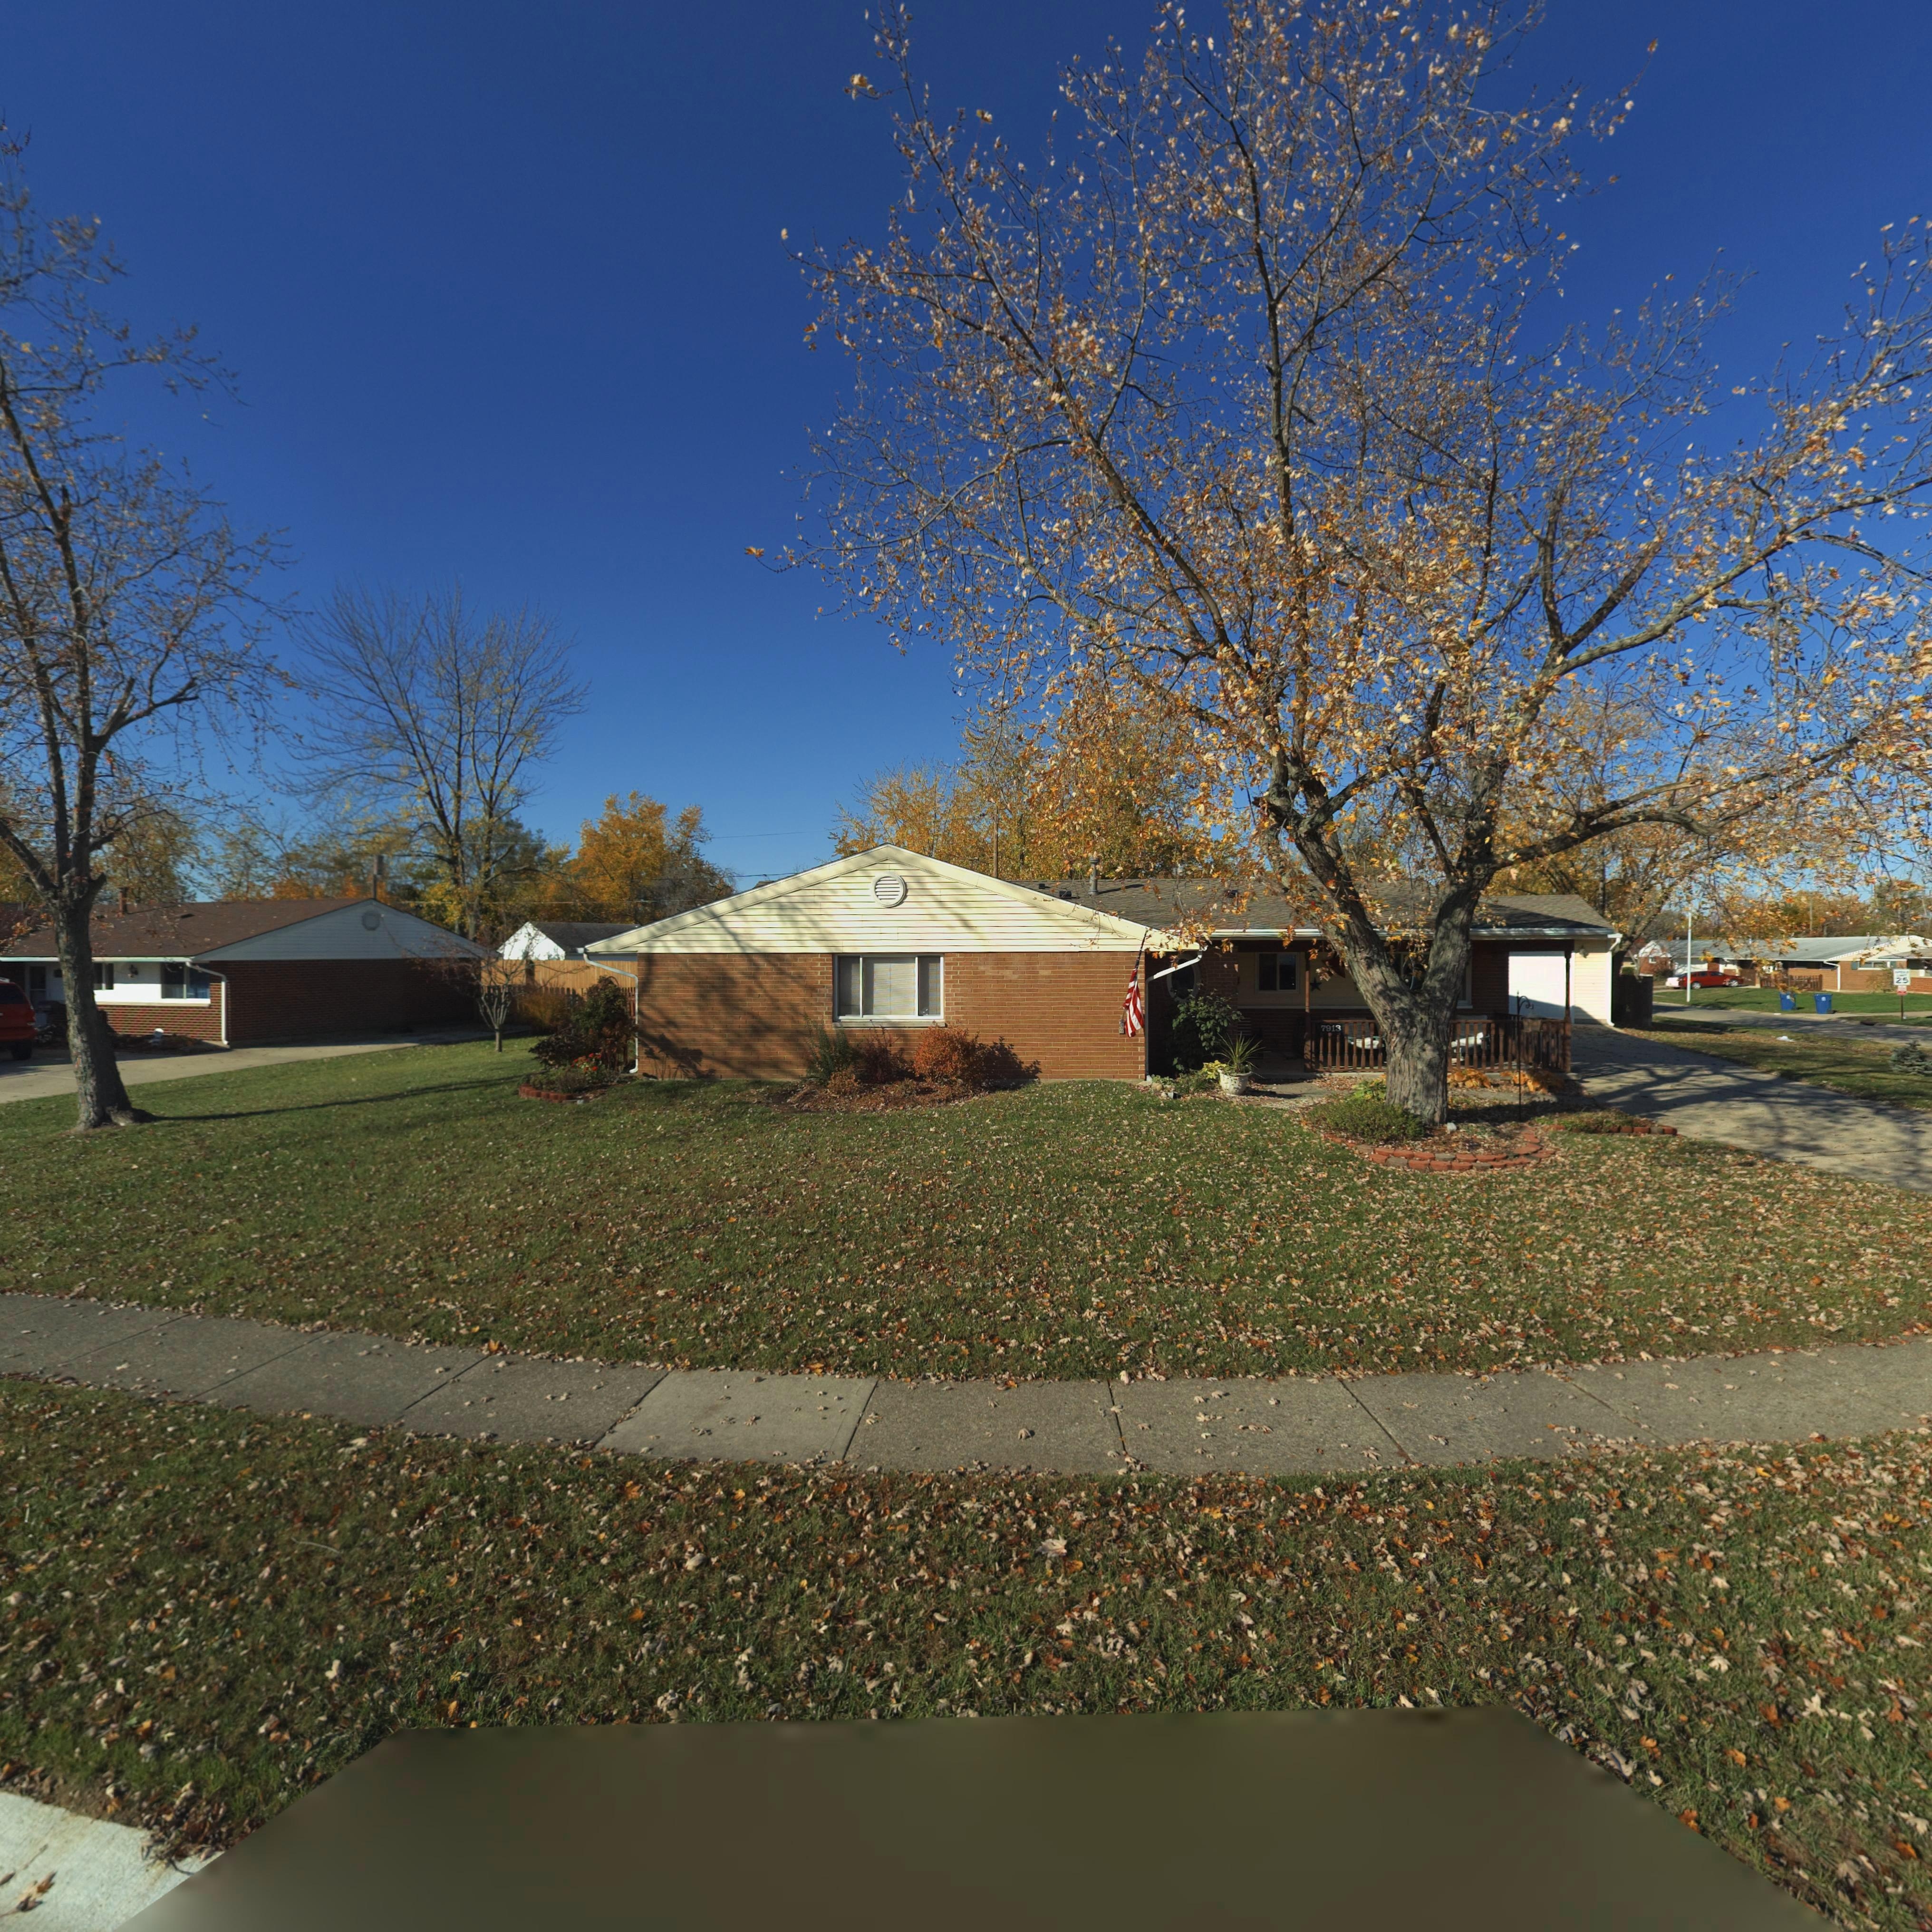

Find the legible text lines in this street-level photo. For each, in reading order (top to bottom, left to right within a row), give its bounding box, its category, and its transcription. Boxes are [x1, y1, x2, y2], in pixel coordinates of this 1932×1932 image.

[1320, 1024, 1343, 1033] StreetNumber: 7913